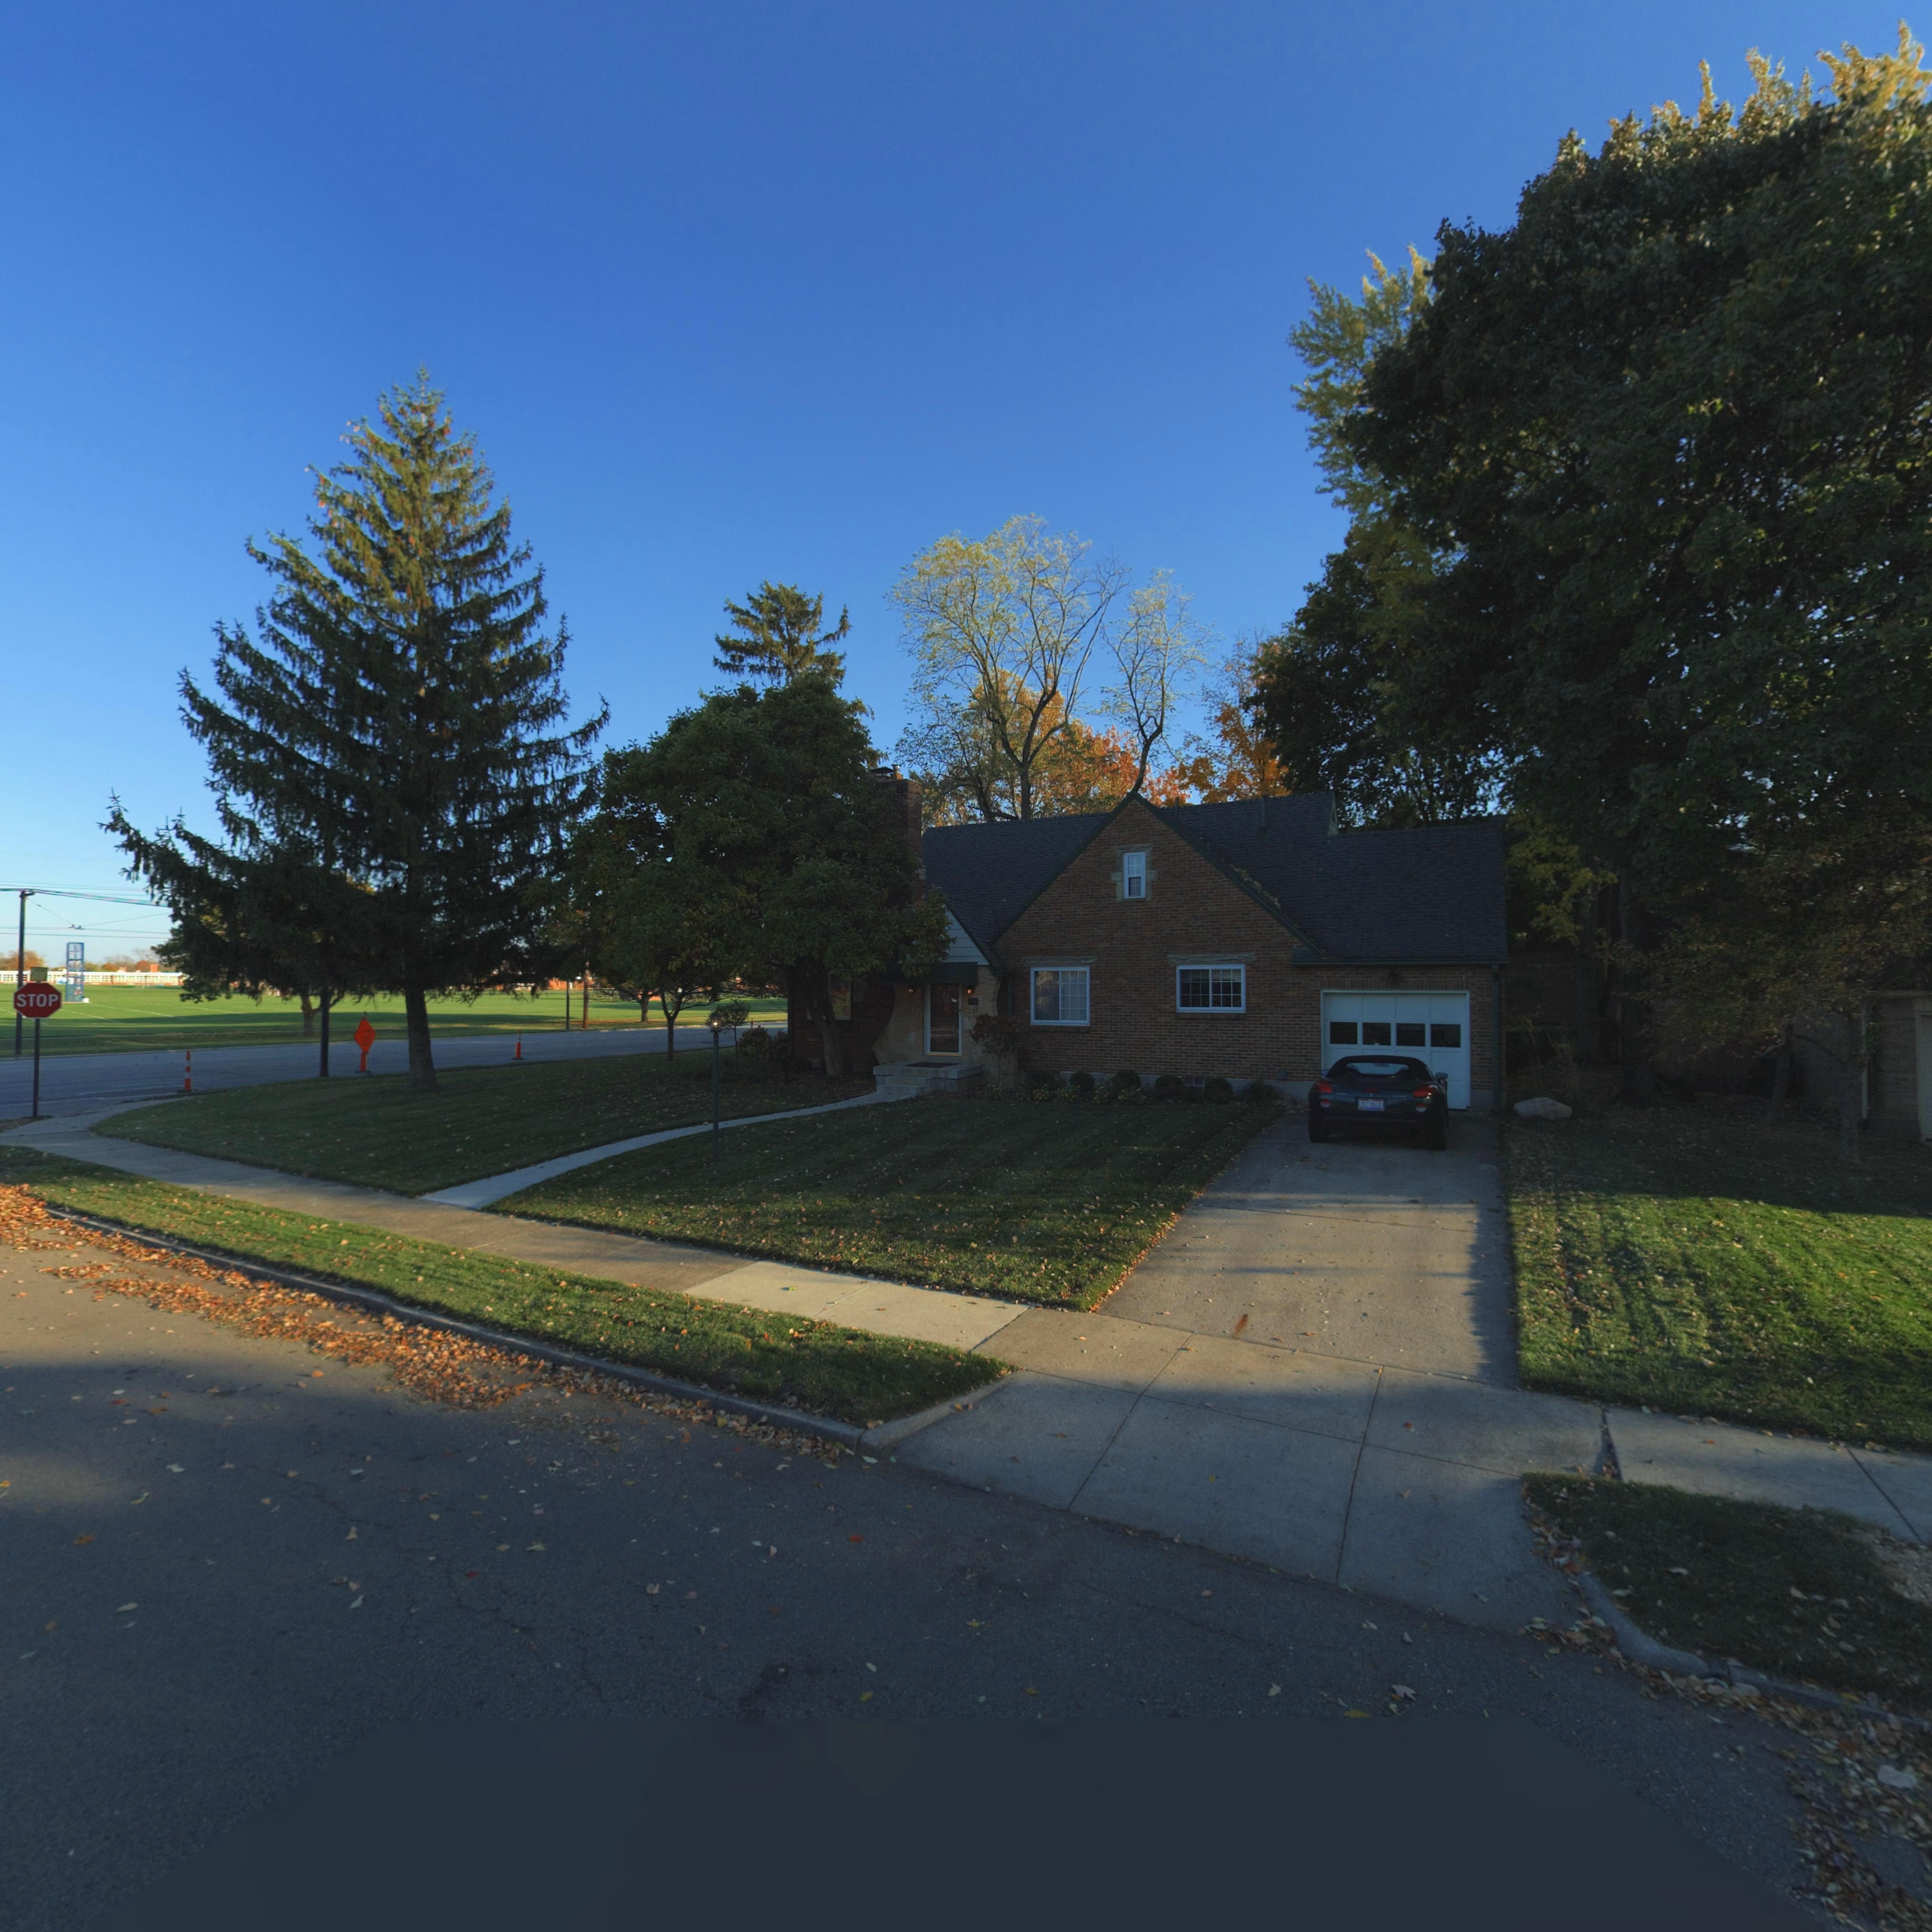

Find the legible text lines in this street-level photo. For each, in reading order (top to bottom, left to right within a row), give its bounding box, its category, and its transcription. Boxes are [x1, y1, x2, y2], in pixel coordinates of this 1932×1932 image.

[968, 1005, 979, 1016] StreetNumber: 102